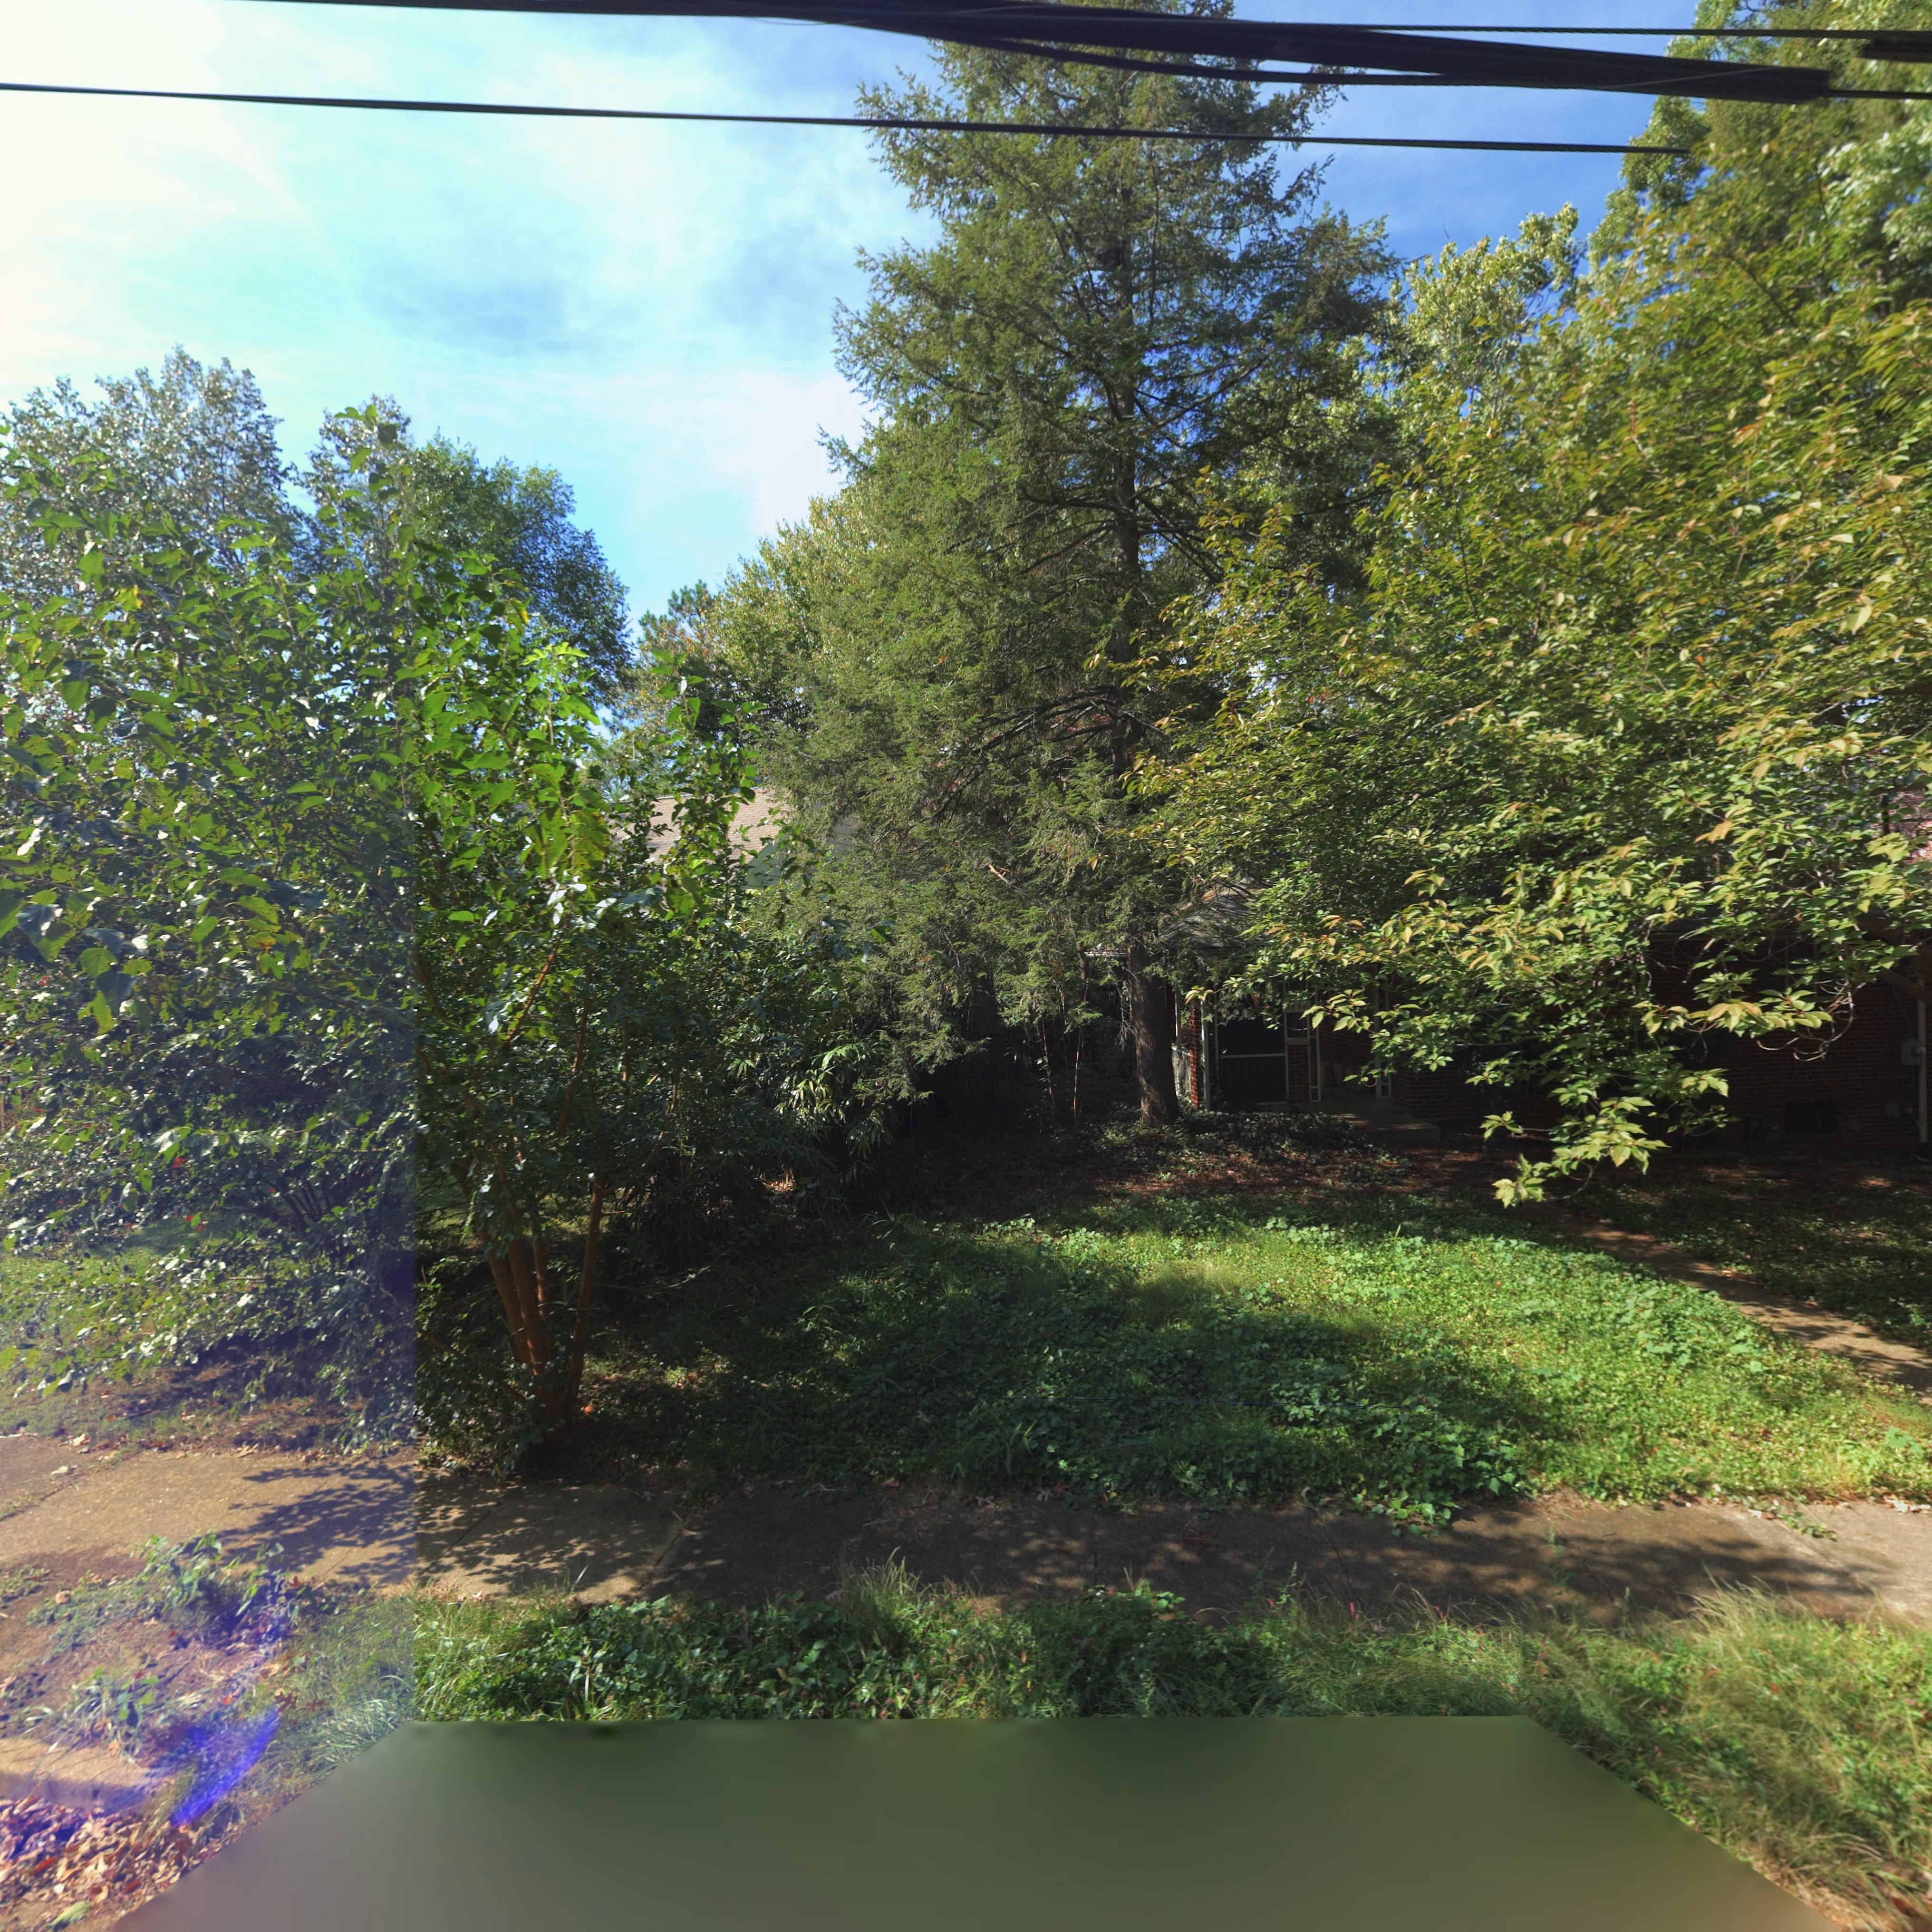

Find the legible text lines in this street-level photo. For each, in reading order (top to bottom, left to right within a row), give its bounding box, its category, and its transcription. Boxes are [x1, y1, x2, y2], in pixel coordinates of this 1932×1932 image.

[1286, 1003, 1307, 1010] StreetNumber: 1836